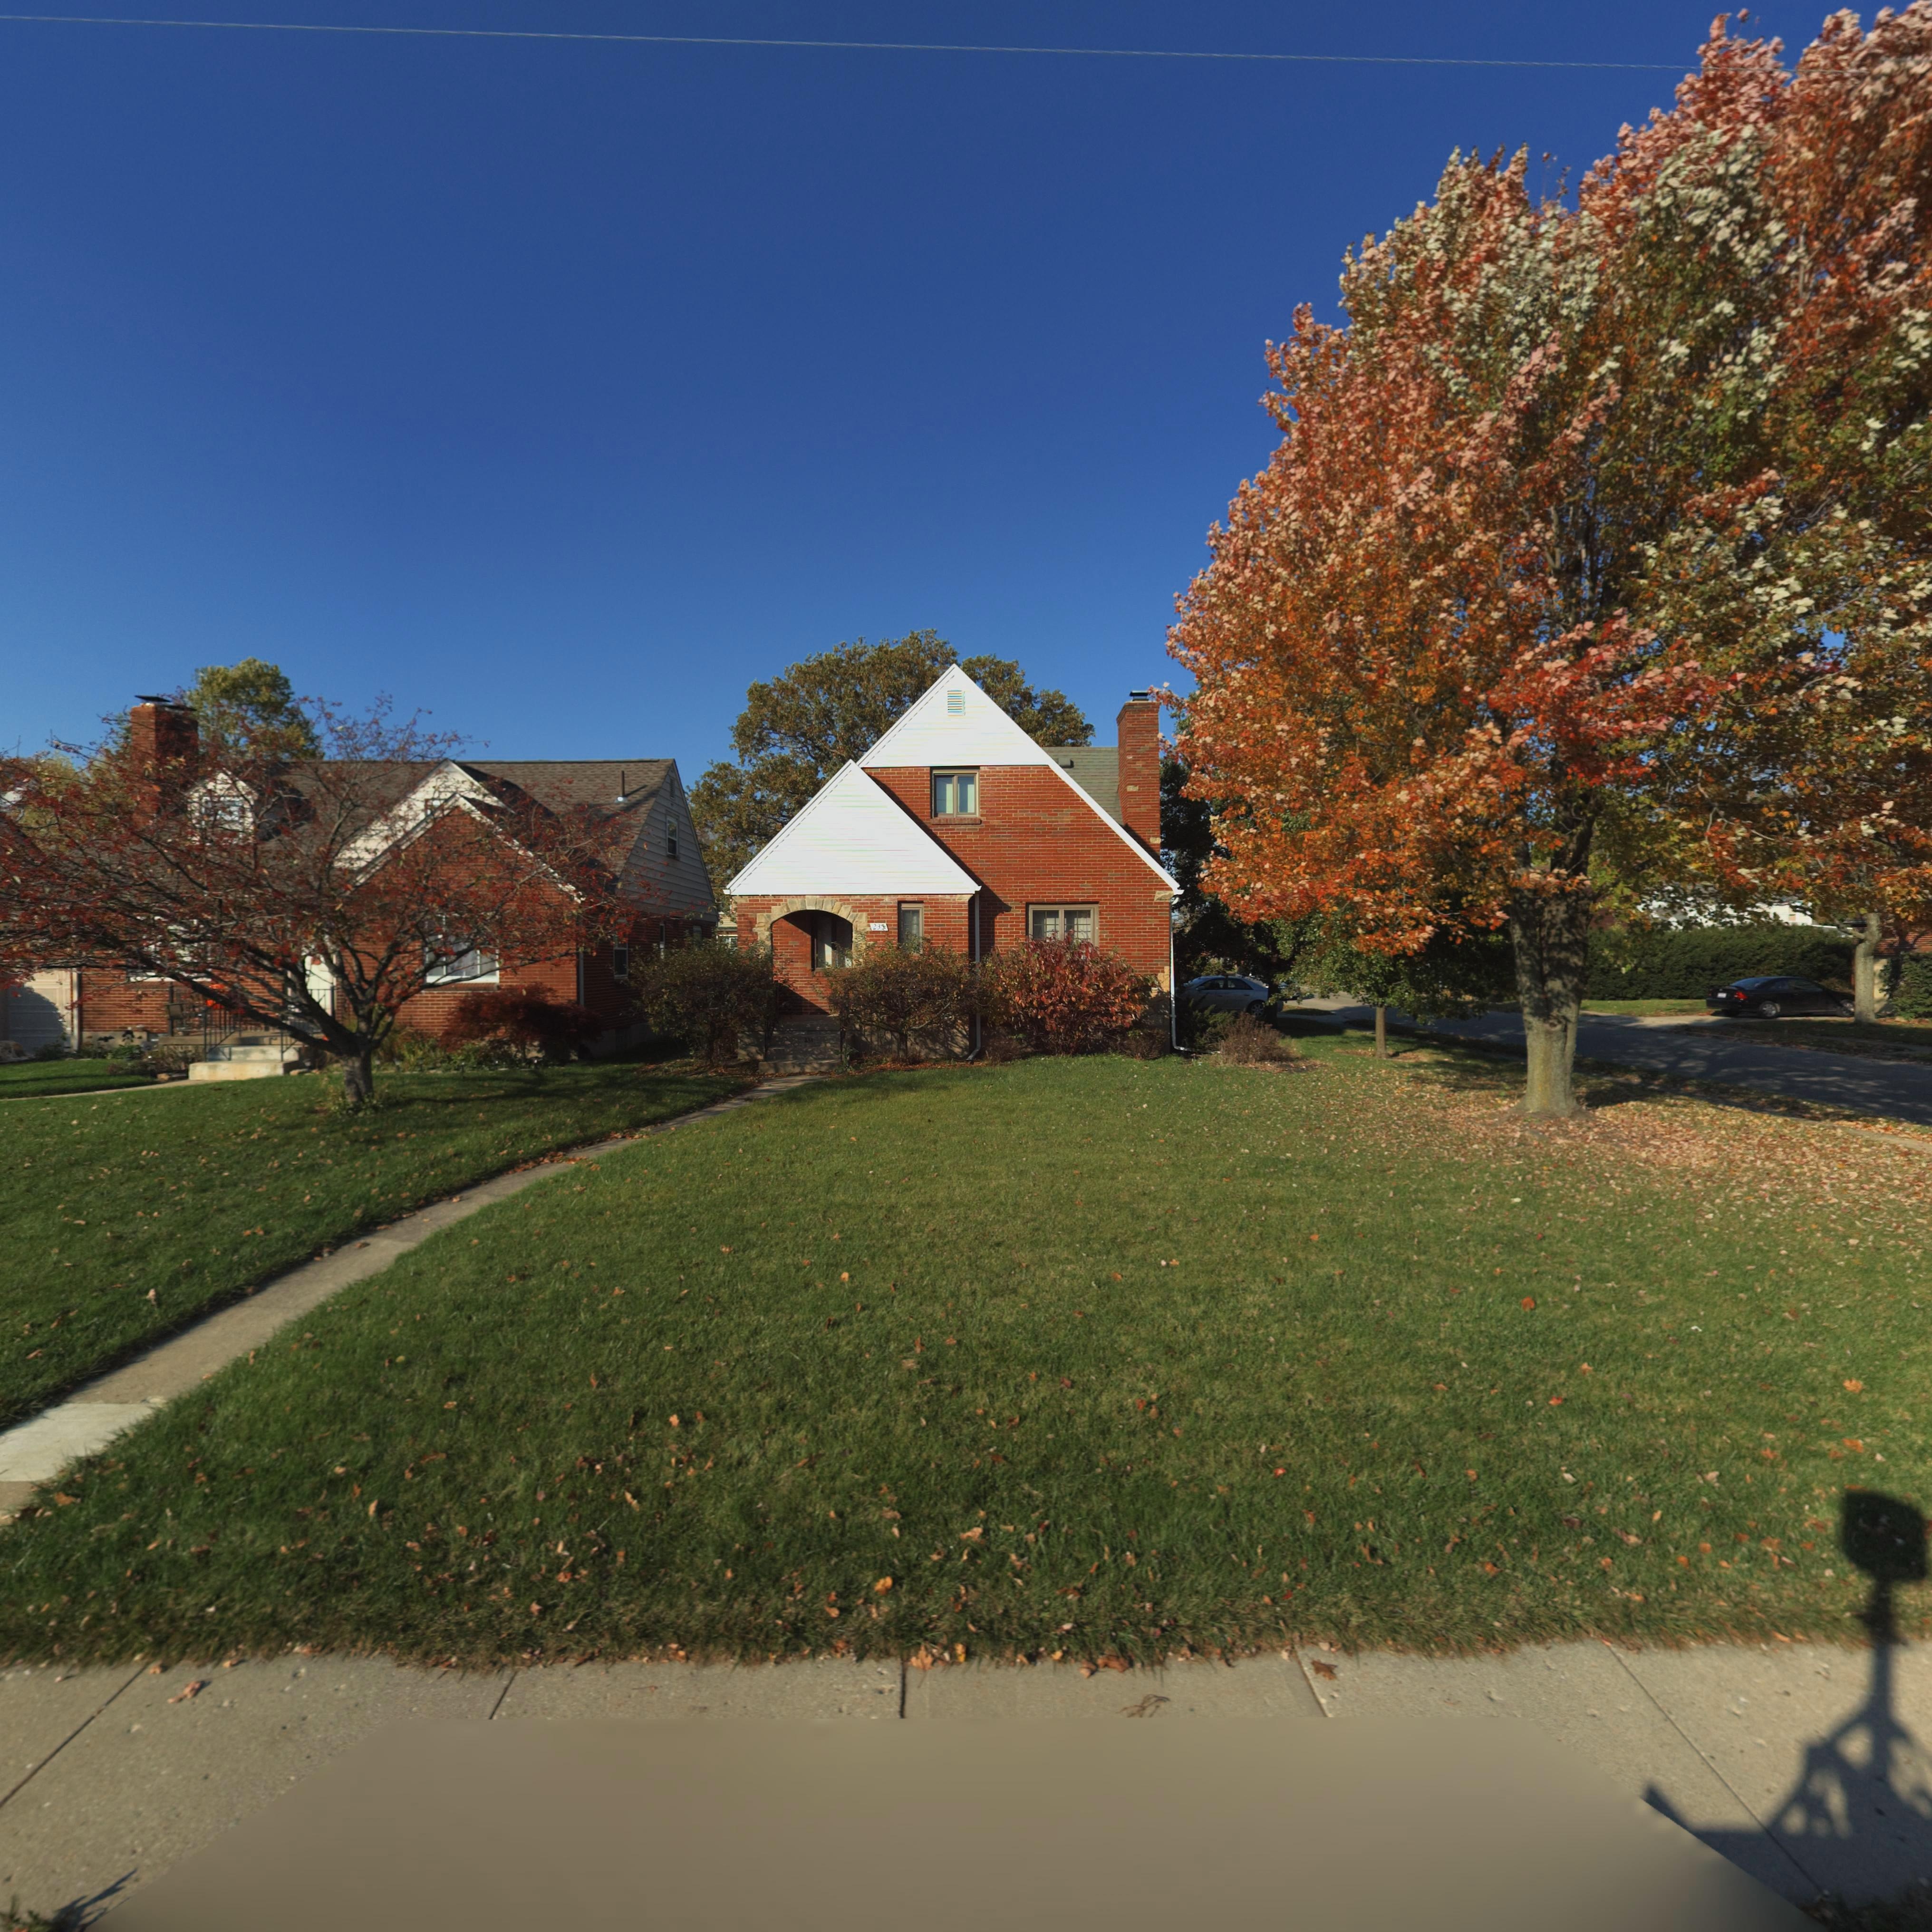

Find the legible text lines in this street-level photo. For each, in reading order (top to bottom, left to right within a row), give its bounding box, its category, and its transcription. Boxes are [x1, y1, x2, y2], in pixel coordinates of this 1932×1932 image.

[871, 922, 881, 931] StreetNumber: 23